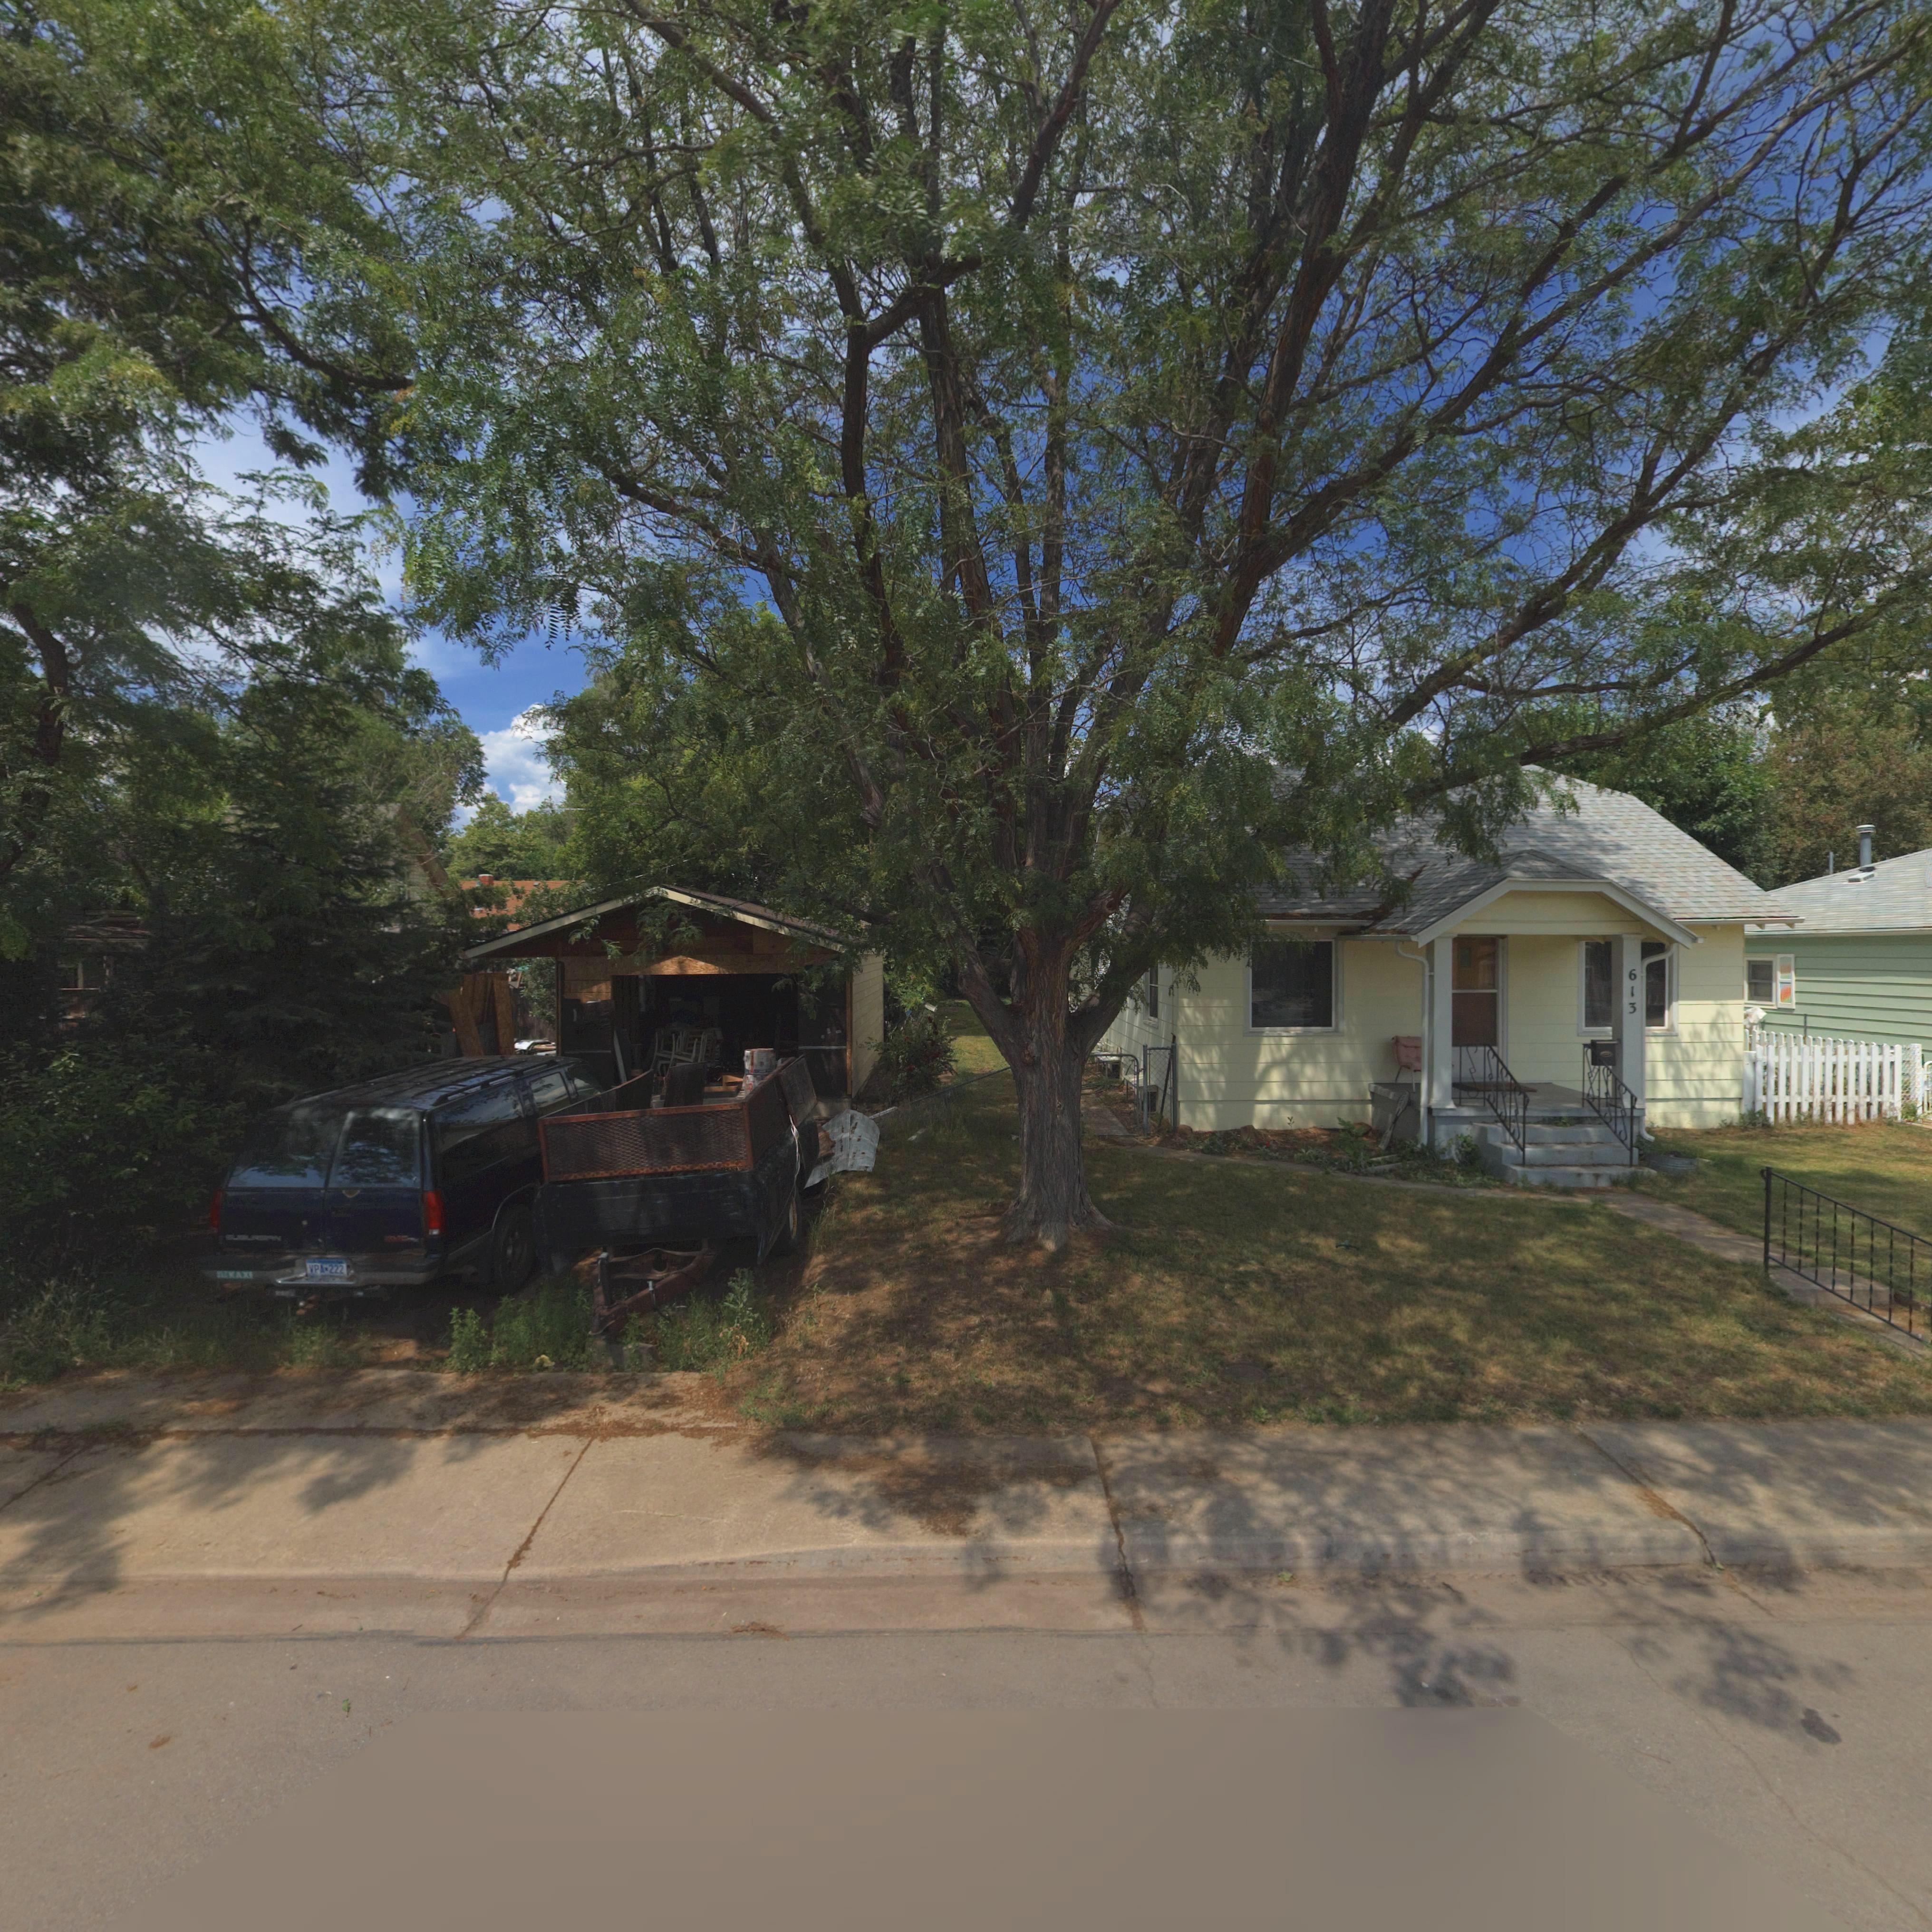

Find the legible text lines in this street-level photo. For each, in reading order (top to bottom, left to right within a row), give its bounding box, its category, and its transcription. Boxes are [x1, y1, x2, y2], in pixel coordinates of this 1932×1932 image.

[1628, 968, 1637, 1014] StreetNumber: 613